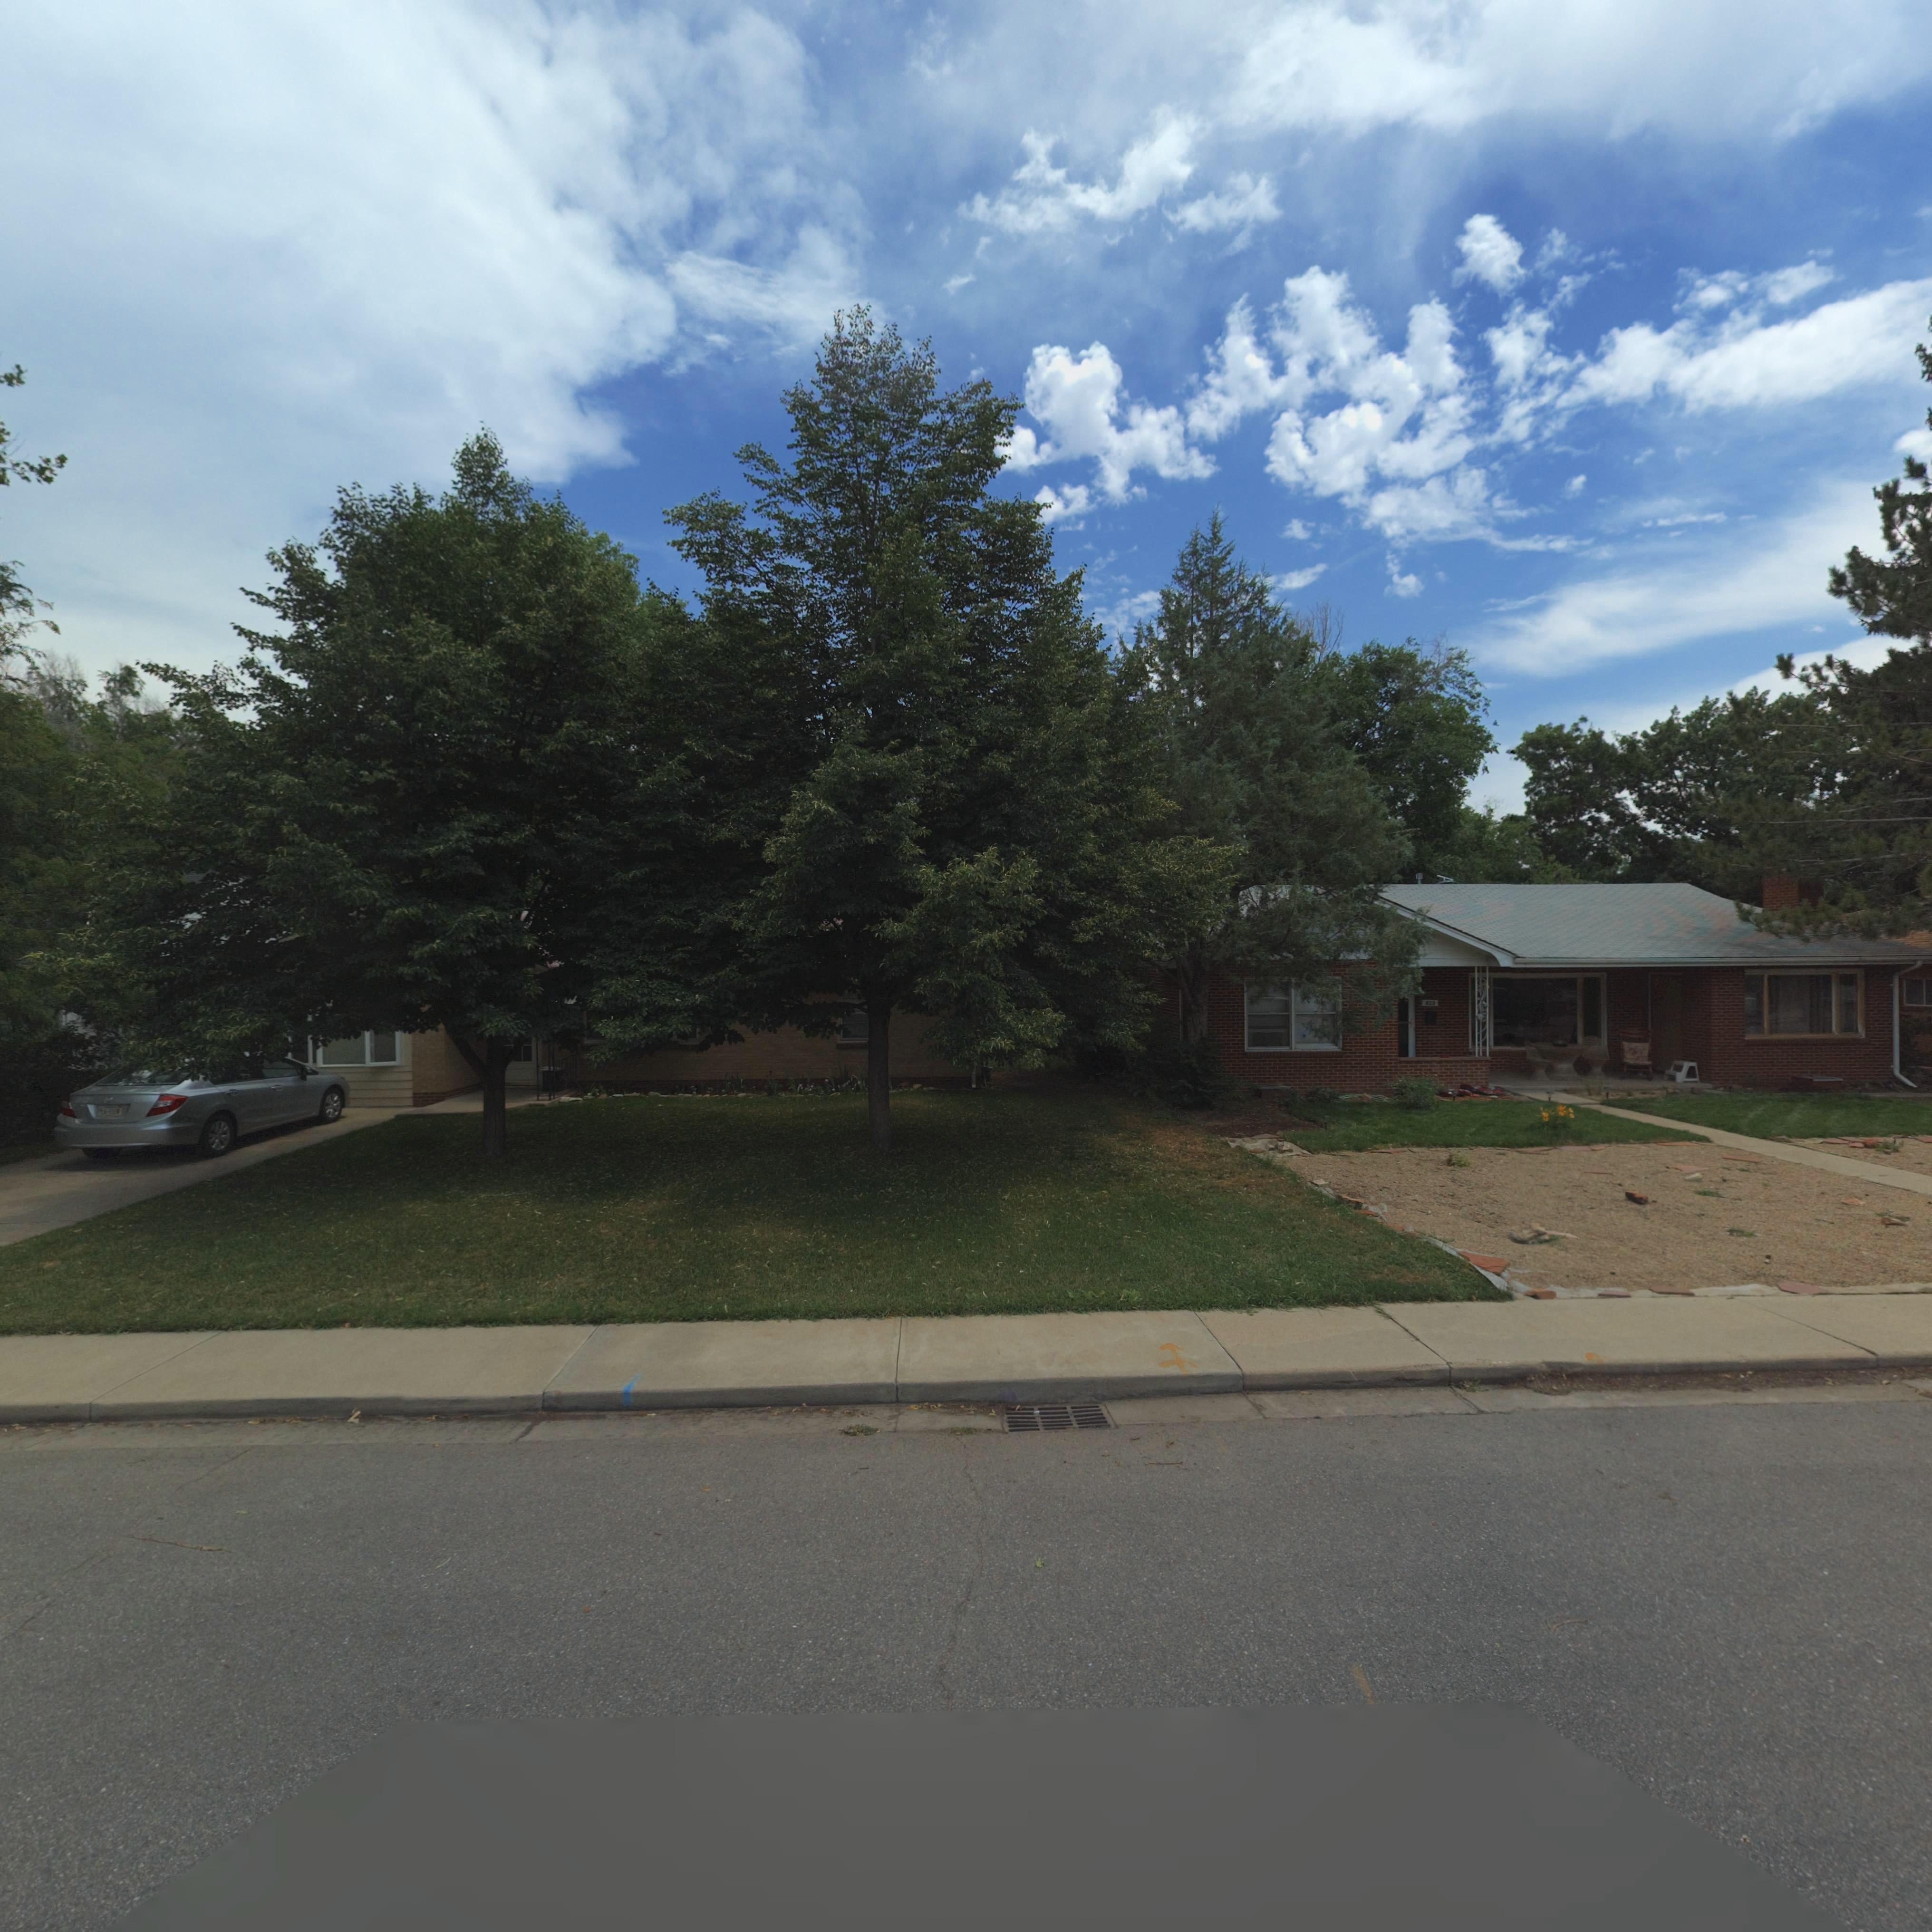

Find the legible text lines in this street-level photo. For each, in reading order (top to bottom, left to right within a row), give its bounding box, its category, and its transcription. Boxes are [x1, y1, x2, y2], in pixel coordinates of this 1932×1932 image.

[1425, 1000, 1437, 1006] StreetNumber: 920